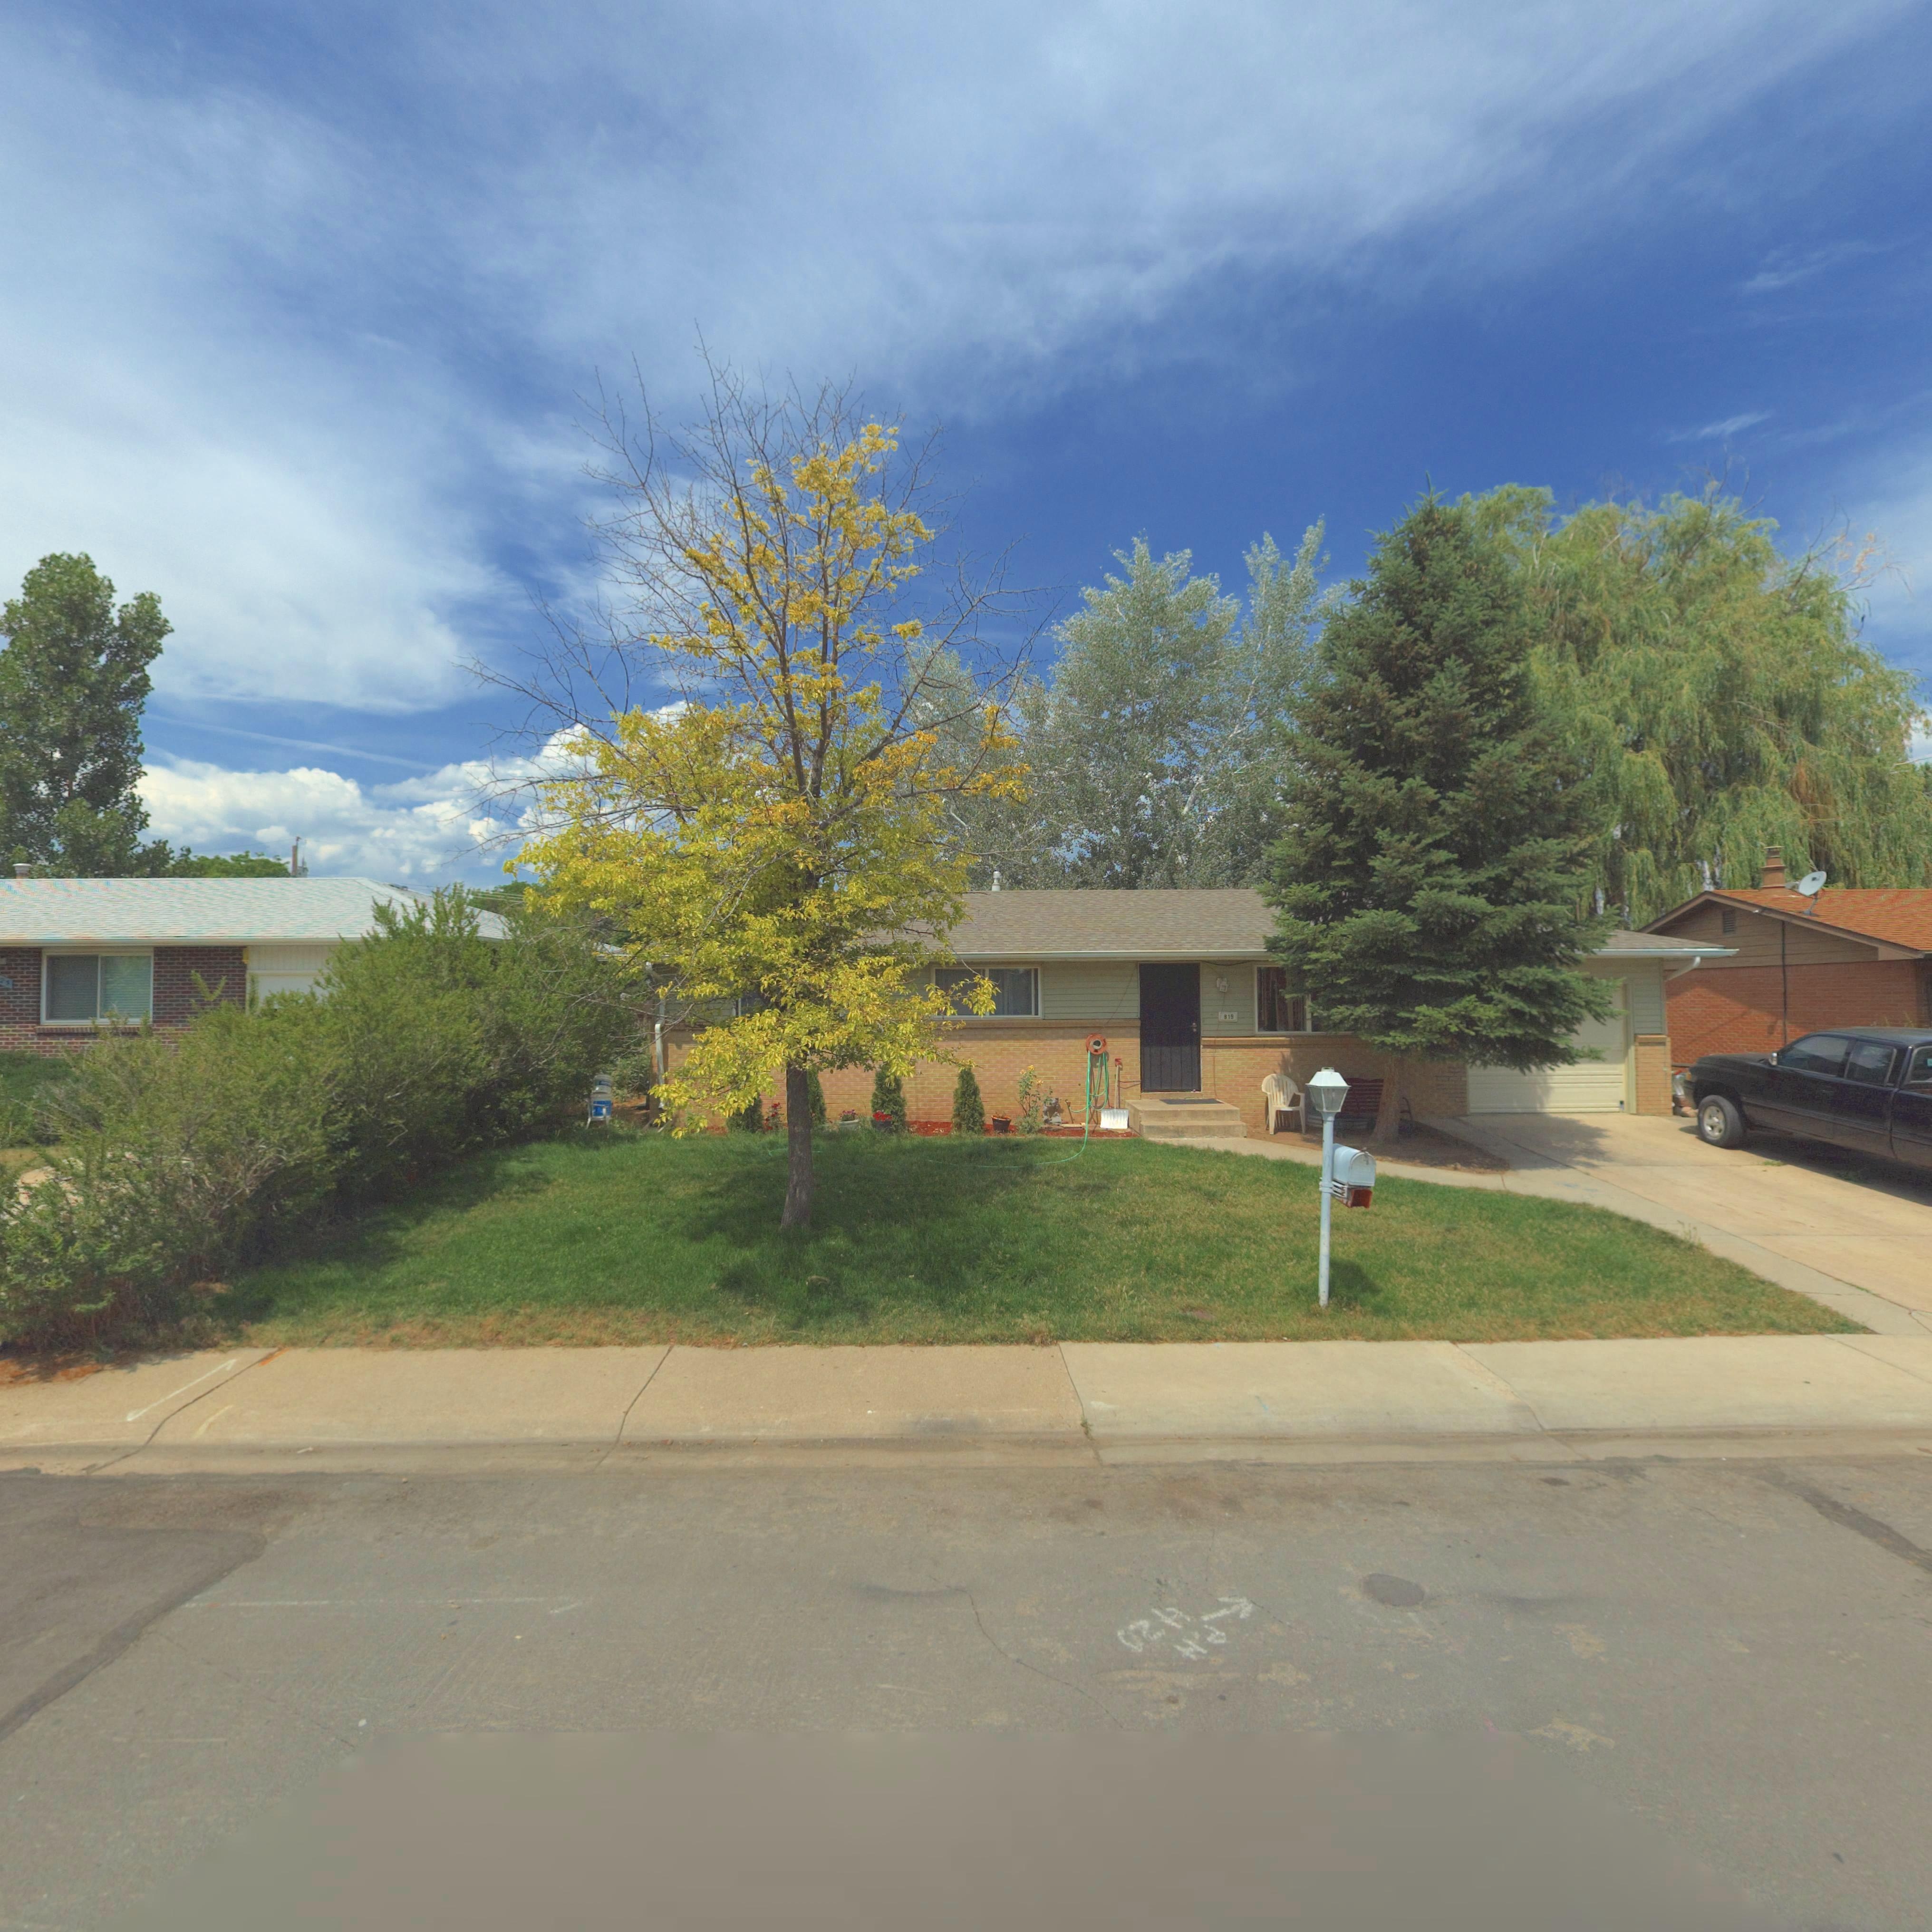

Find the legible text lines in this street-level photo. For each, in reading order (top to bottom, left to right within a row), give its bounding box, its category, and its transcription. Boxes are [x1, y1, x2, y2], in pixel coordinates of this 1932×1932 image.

[0, 976, 10, 987] StreetNumber: *2*
[1224, 1014, 1233, 1019] StreetNumber: 819